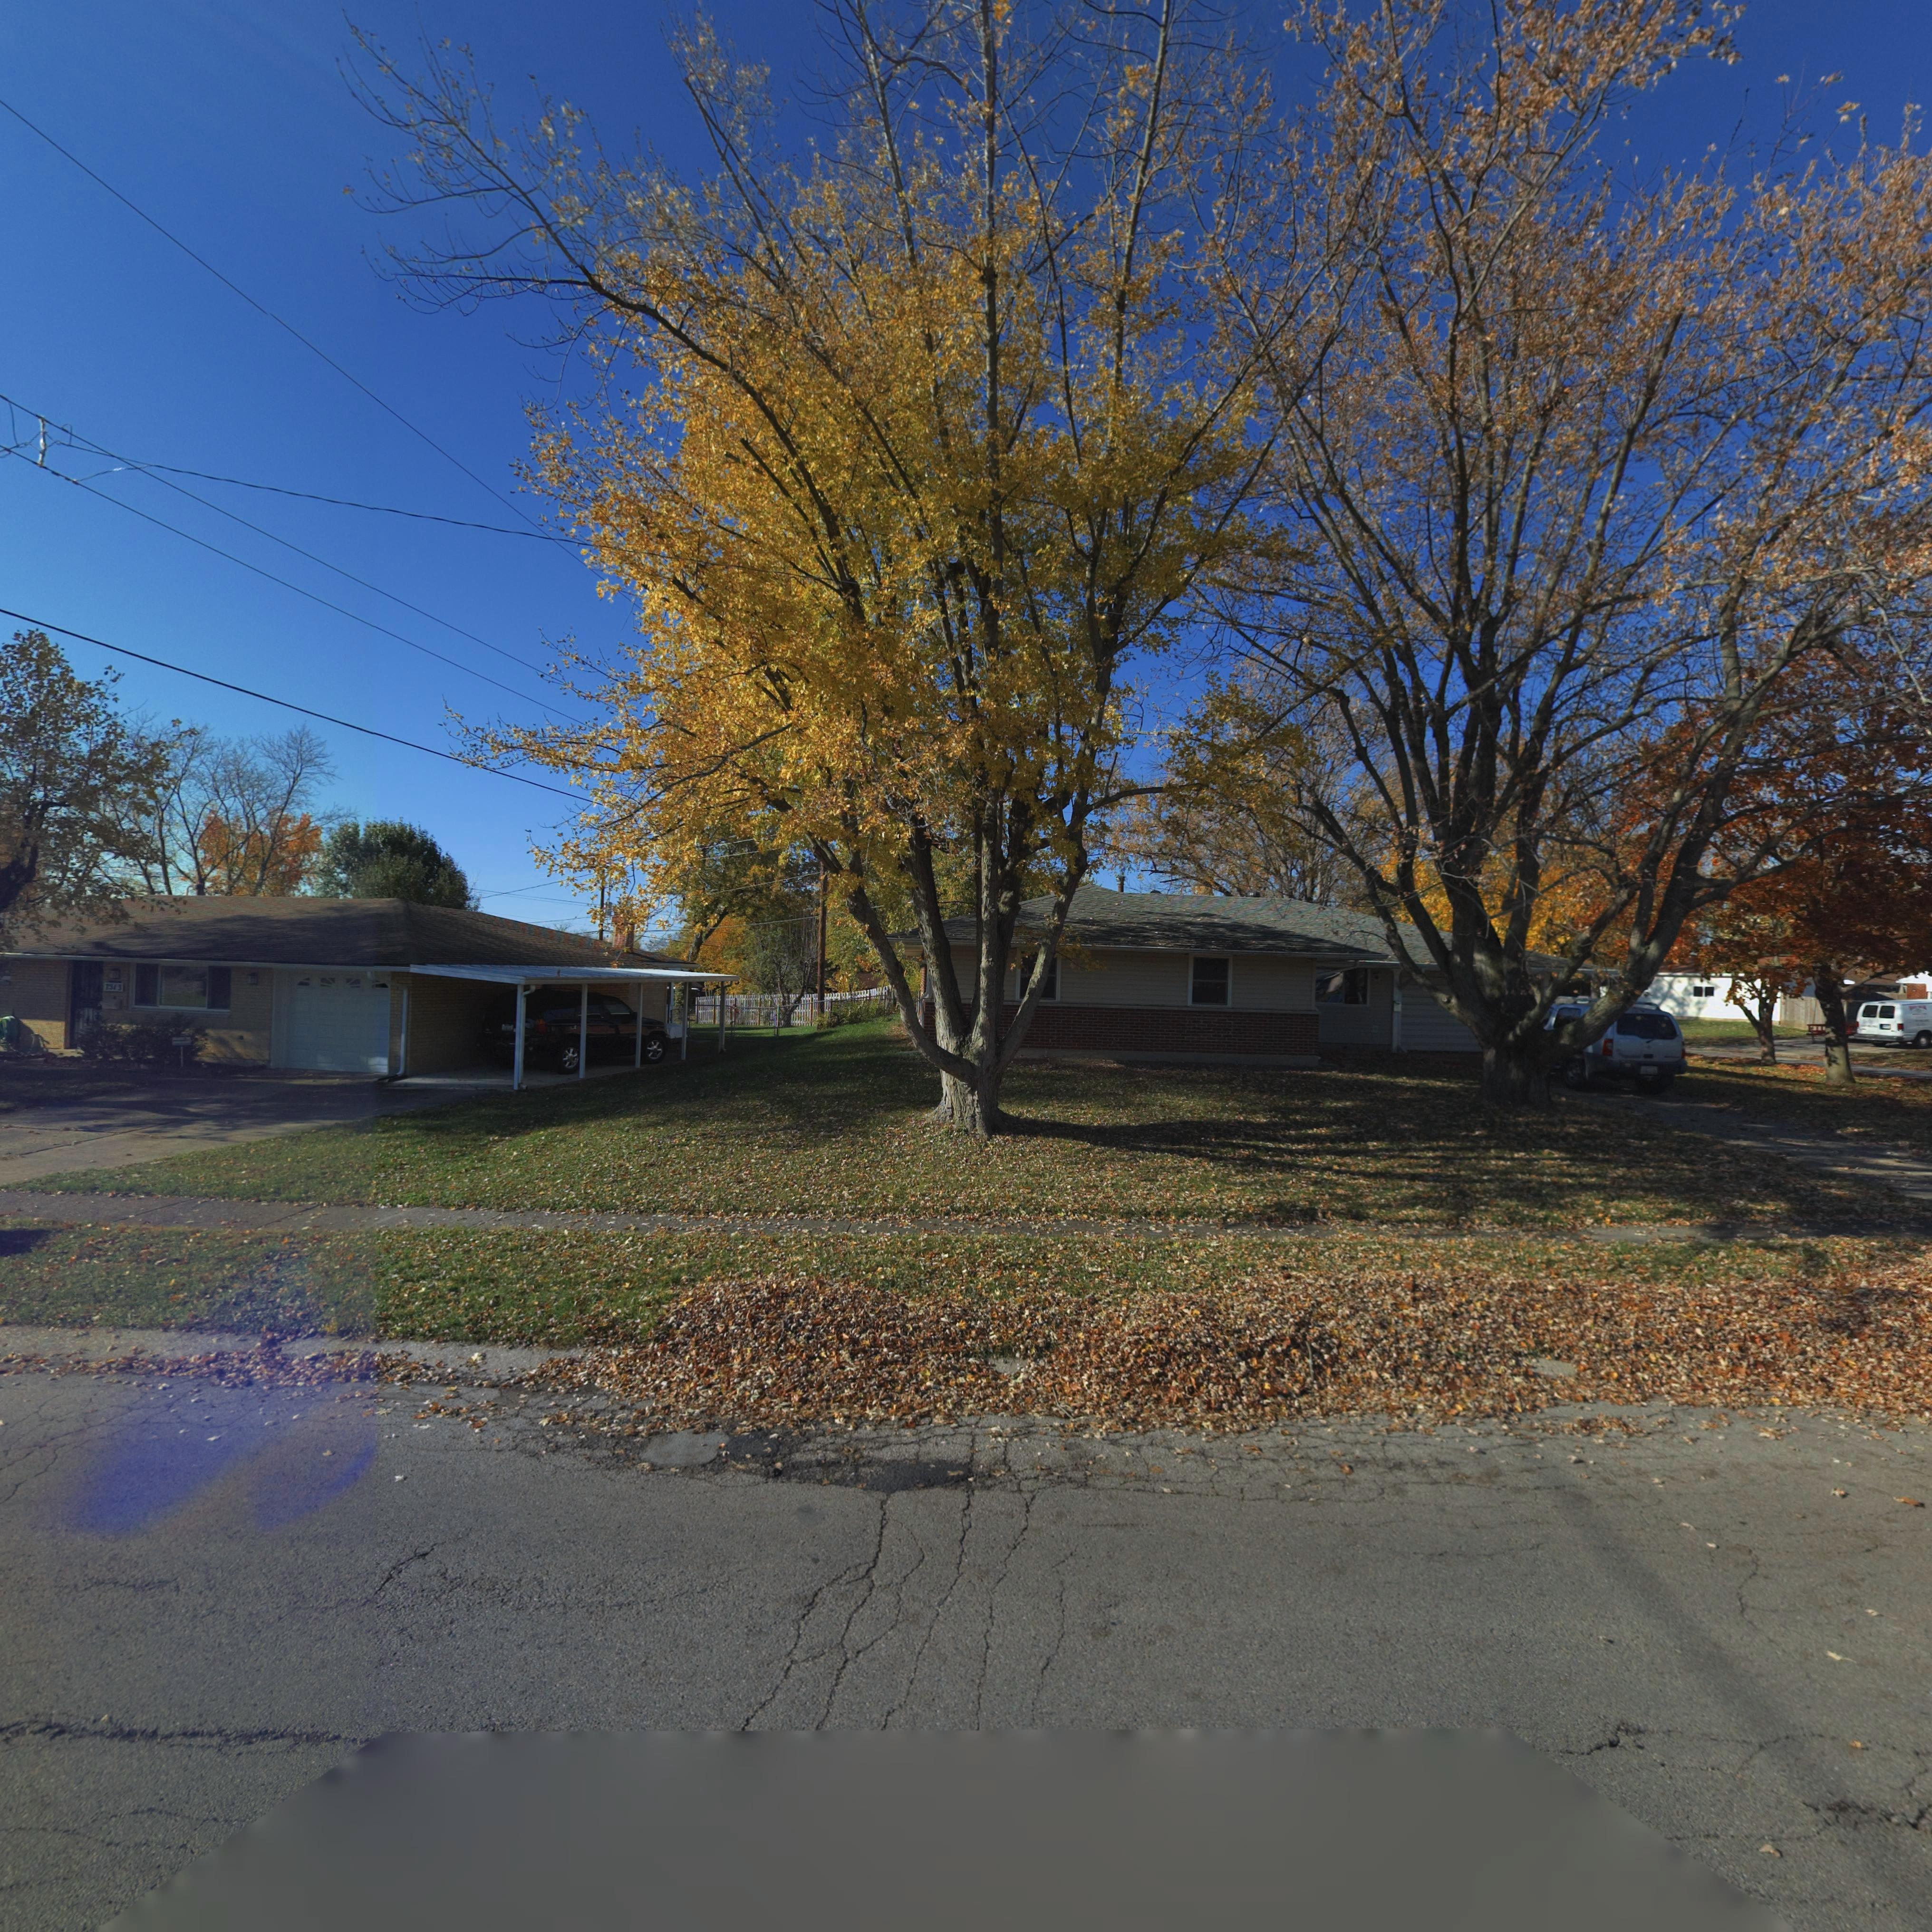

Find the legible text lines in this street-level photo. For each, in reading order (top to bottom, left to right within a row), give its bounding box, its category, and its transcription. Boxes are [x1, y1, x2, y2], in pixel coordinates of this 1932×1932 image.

[104, 982, 123, 991] StreetNumber: **13